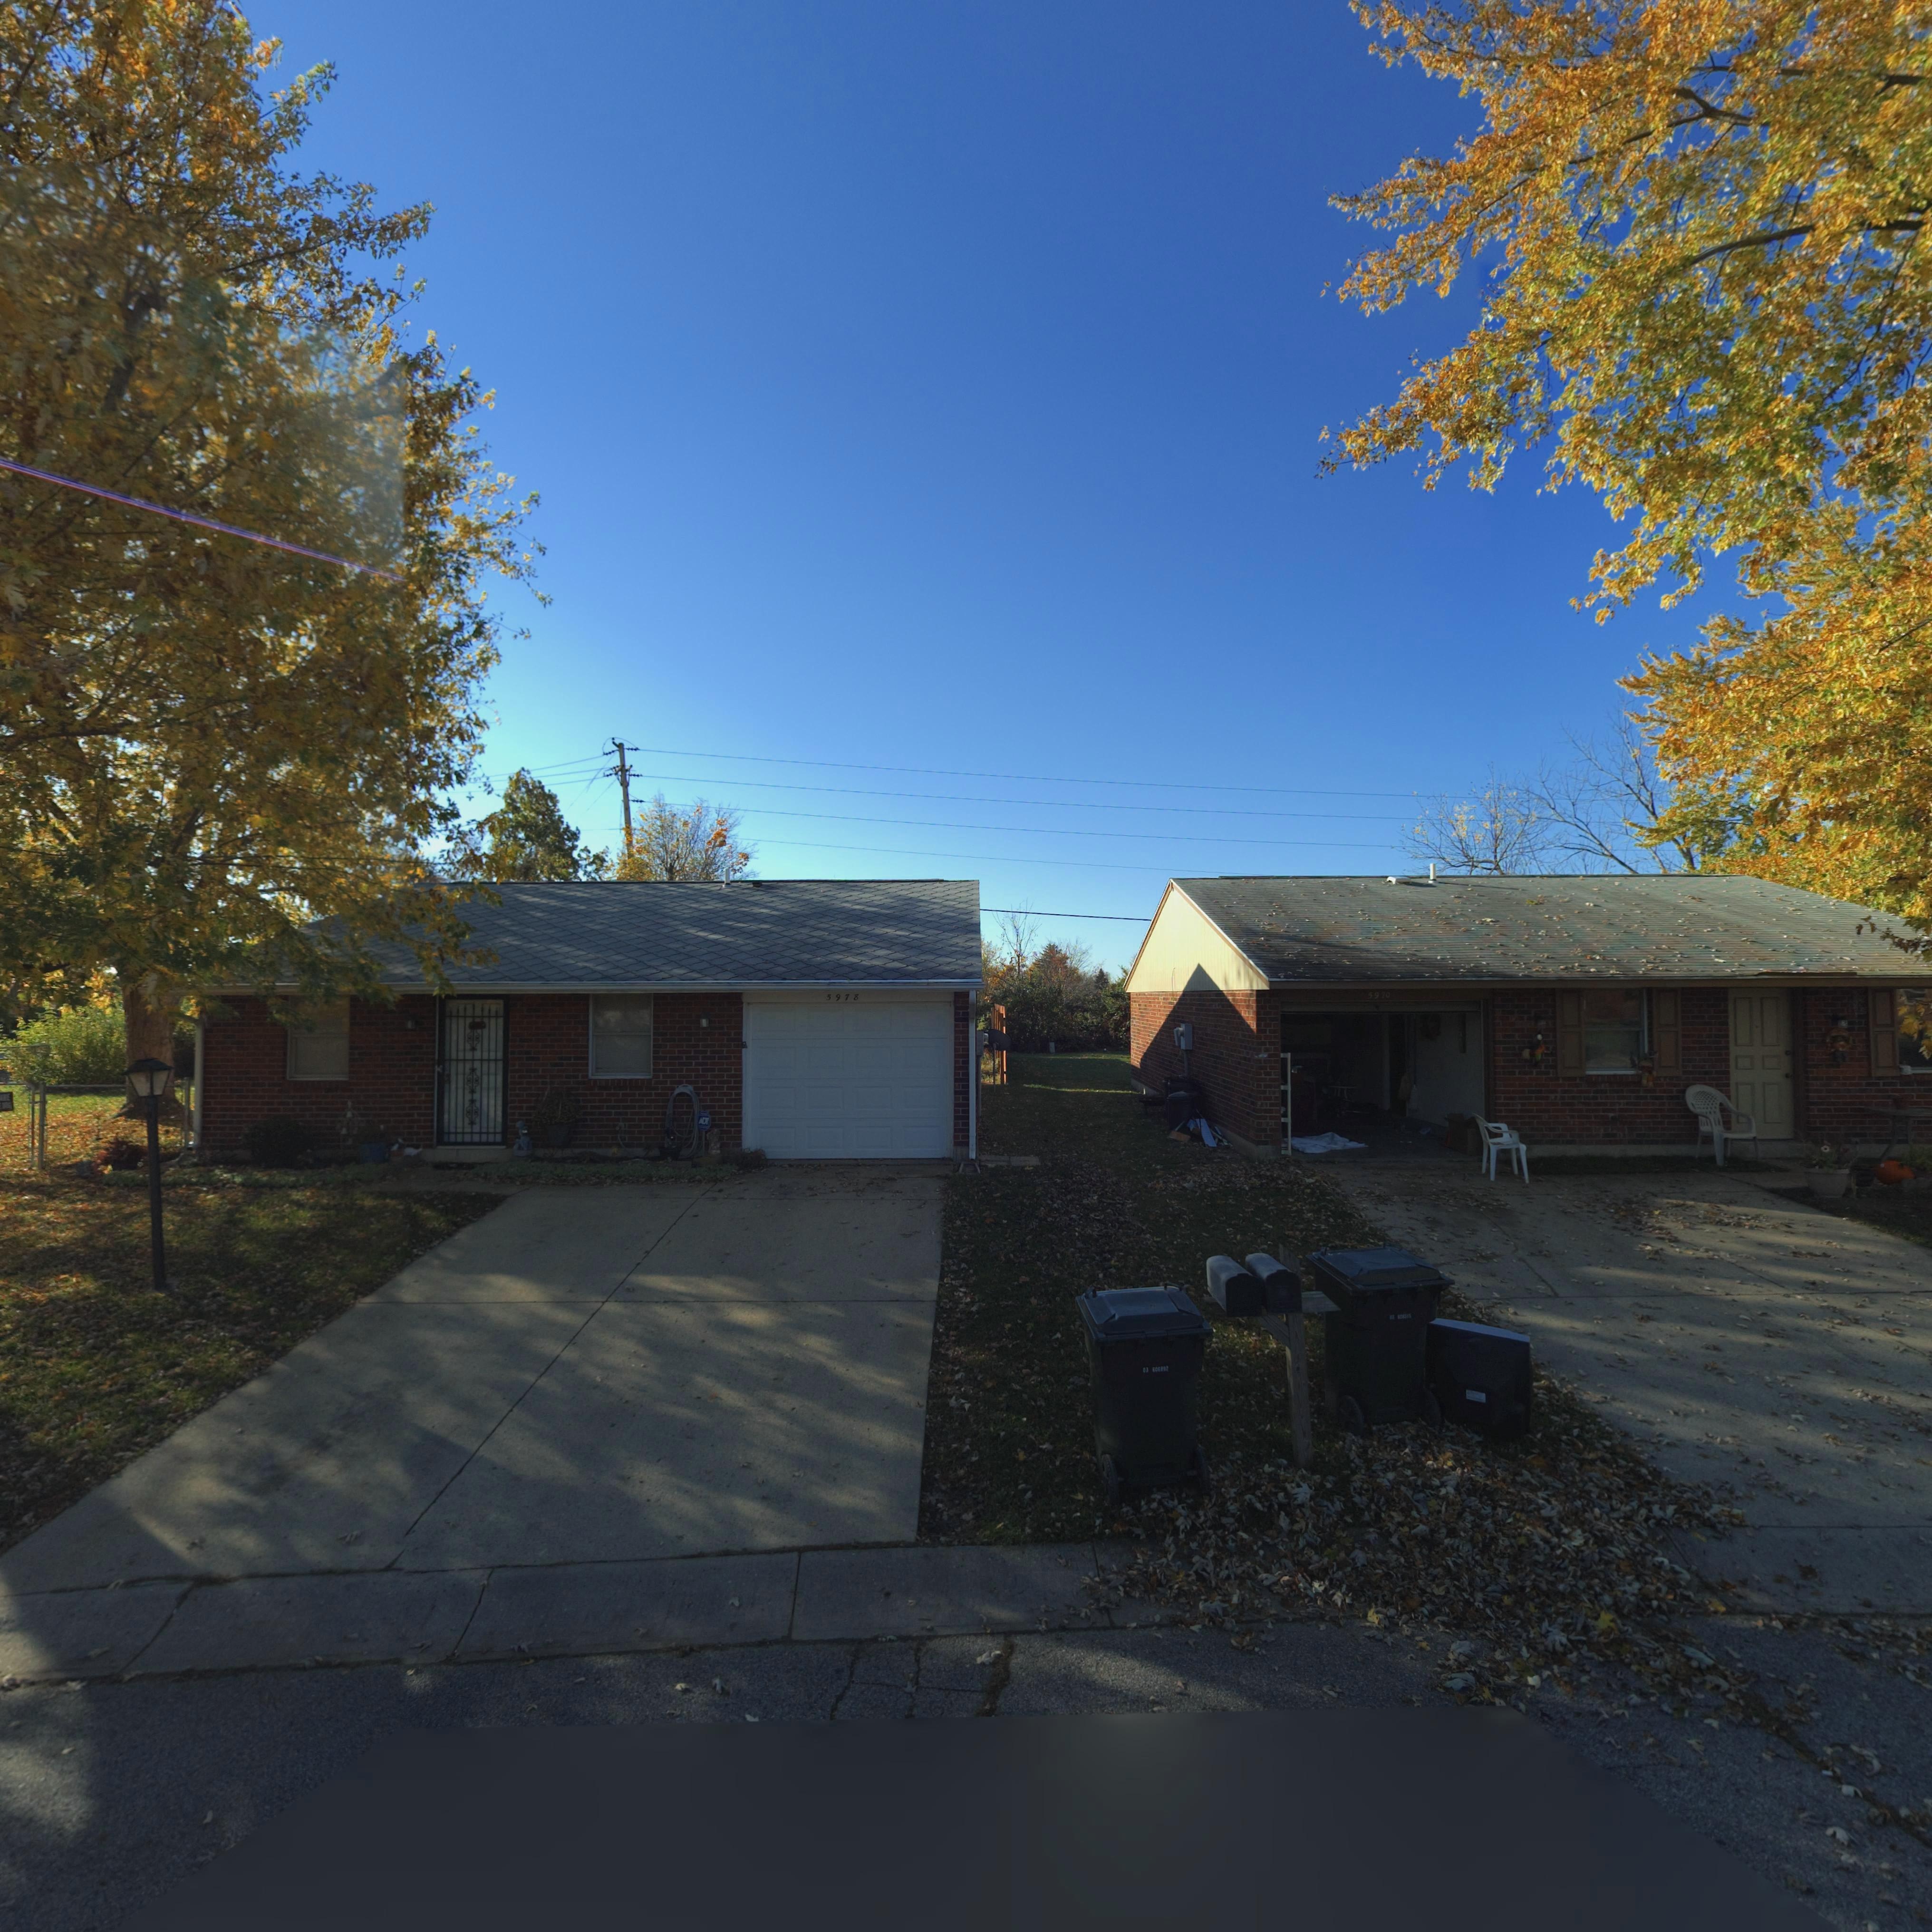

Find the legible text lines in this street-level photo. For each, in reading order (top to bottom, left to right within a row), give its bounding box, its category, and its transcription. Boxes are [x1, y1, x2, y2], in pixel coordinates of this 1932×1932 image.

[826, 993, 860, 1002] StreetNumber: 5978
[1367, 990, 1392, 1000] StreetNumber: 5970